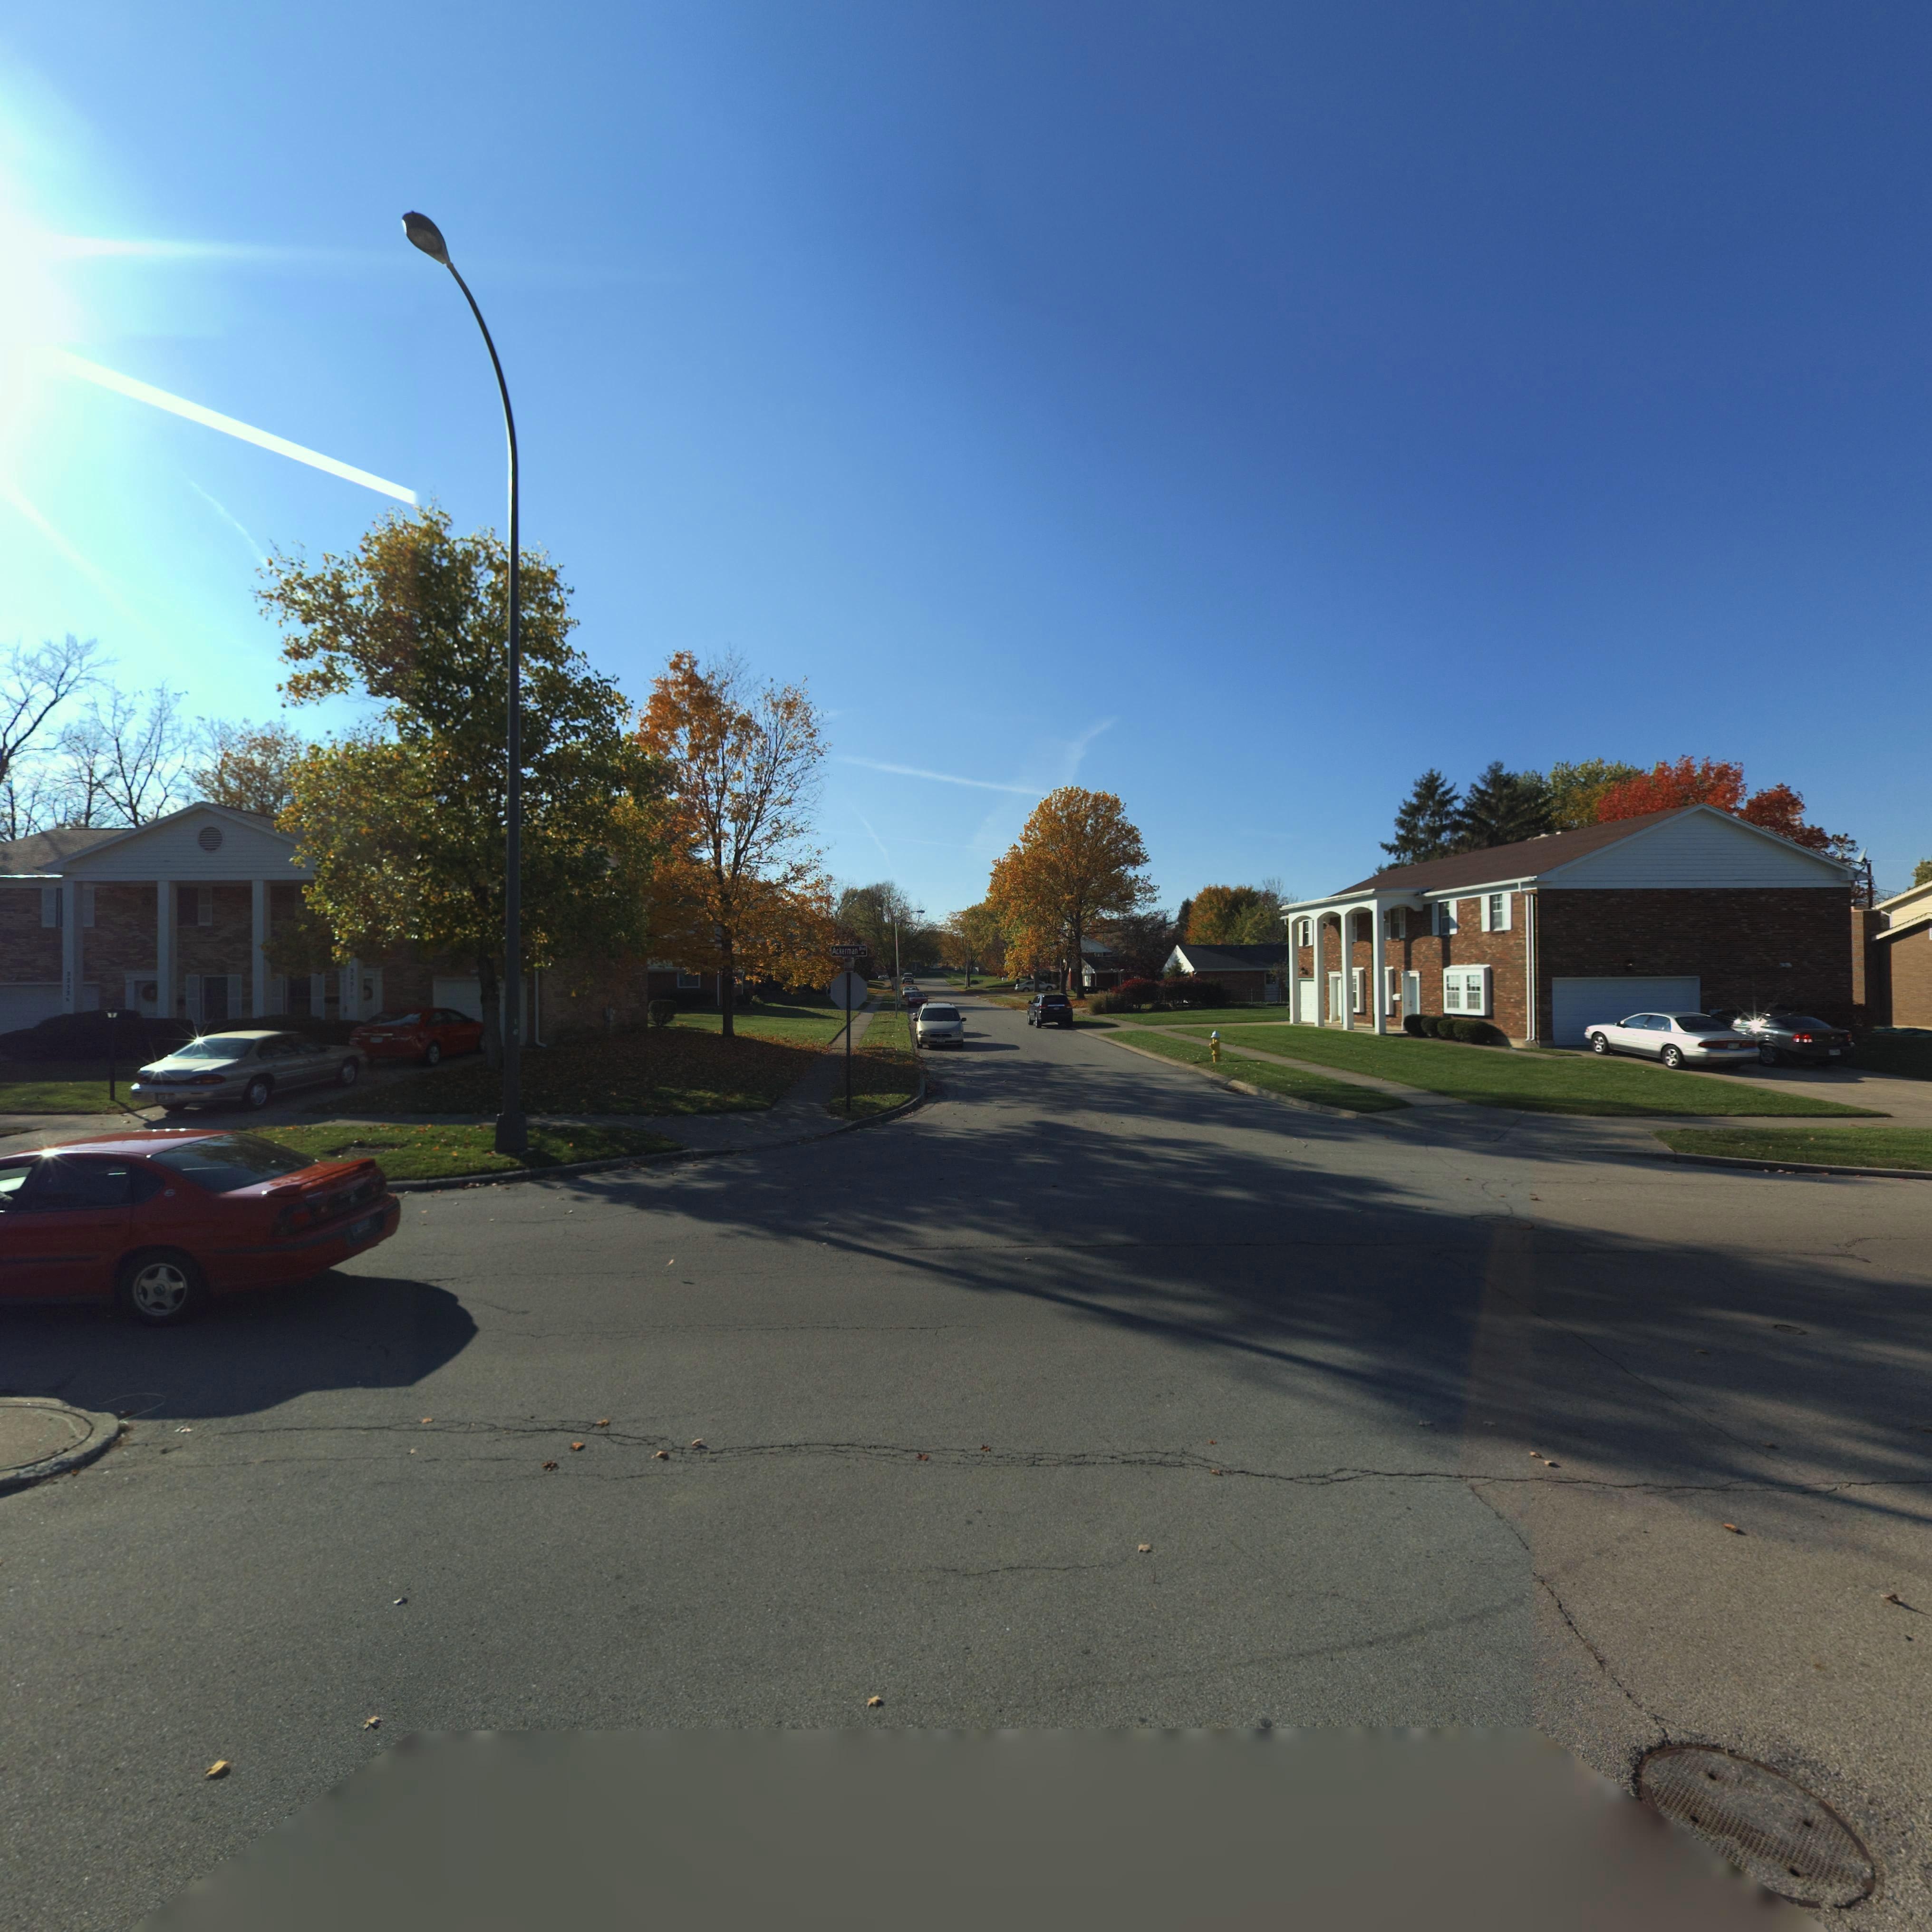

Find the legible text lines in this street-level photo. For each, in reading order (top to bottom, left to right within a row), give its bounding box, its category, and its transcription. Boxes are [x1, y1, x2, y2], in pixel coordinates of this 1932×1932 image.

[831, 947, 859, 956] StreetName: Ackerman
[65, 970, 71, 995] StreetNumber: 3253
[348, 966, 354, 992] StreetNumber: 3251